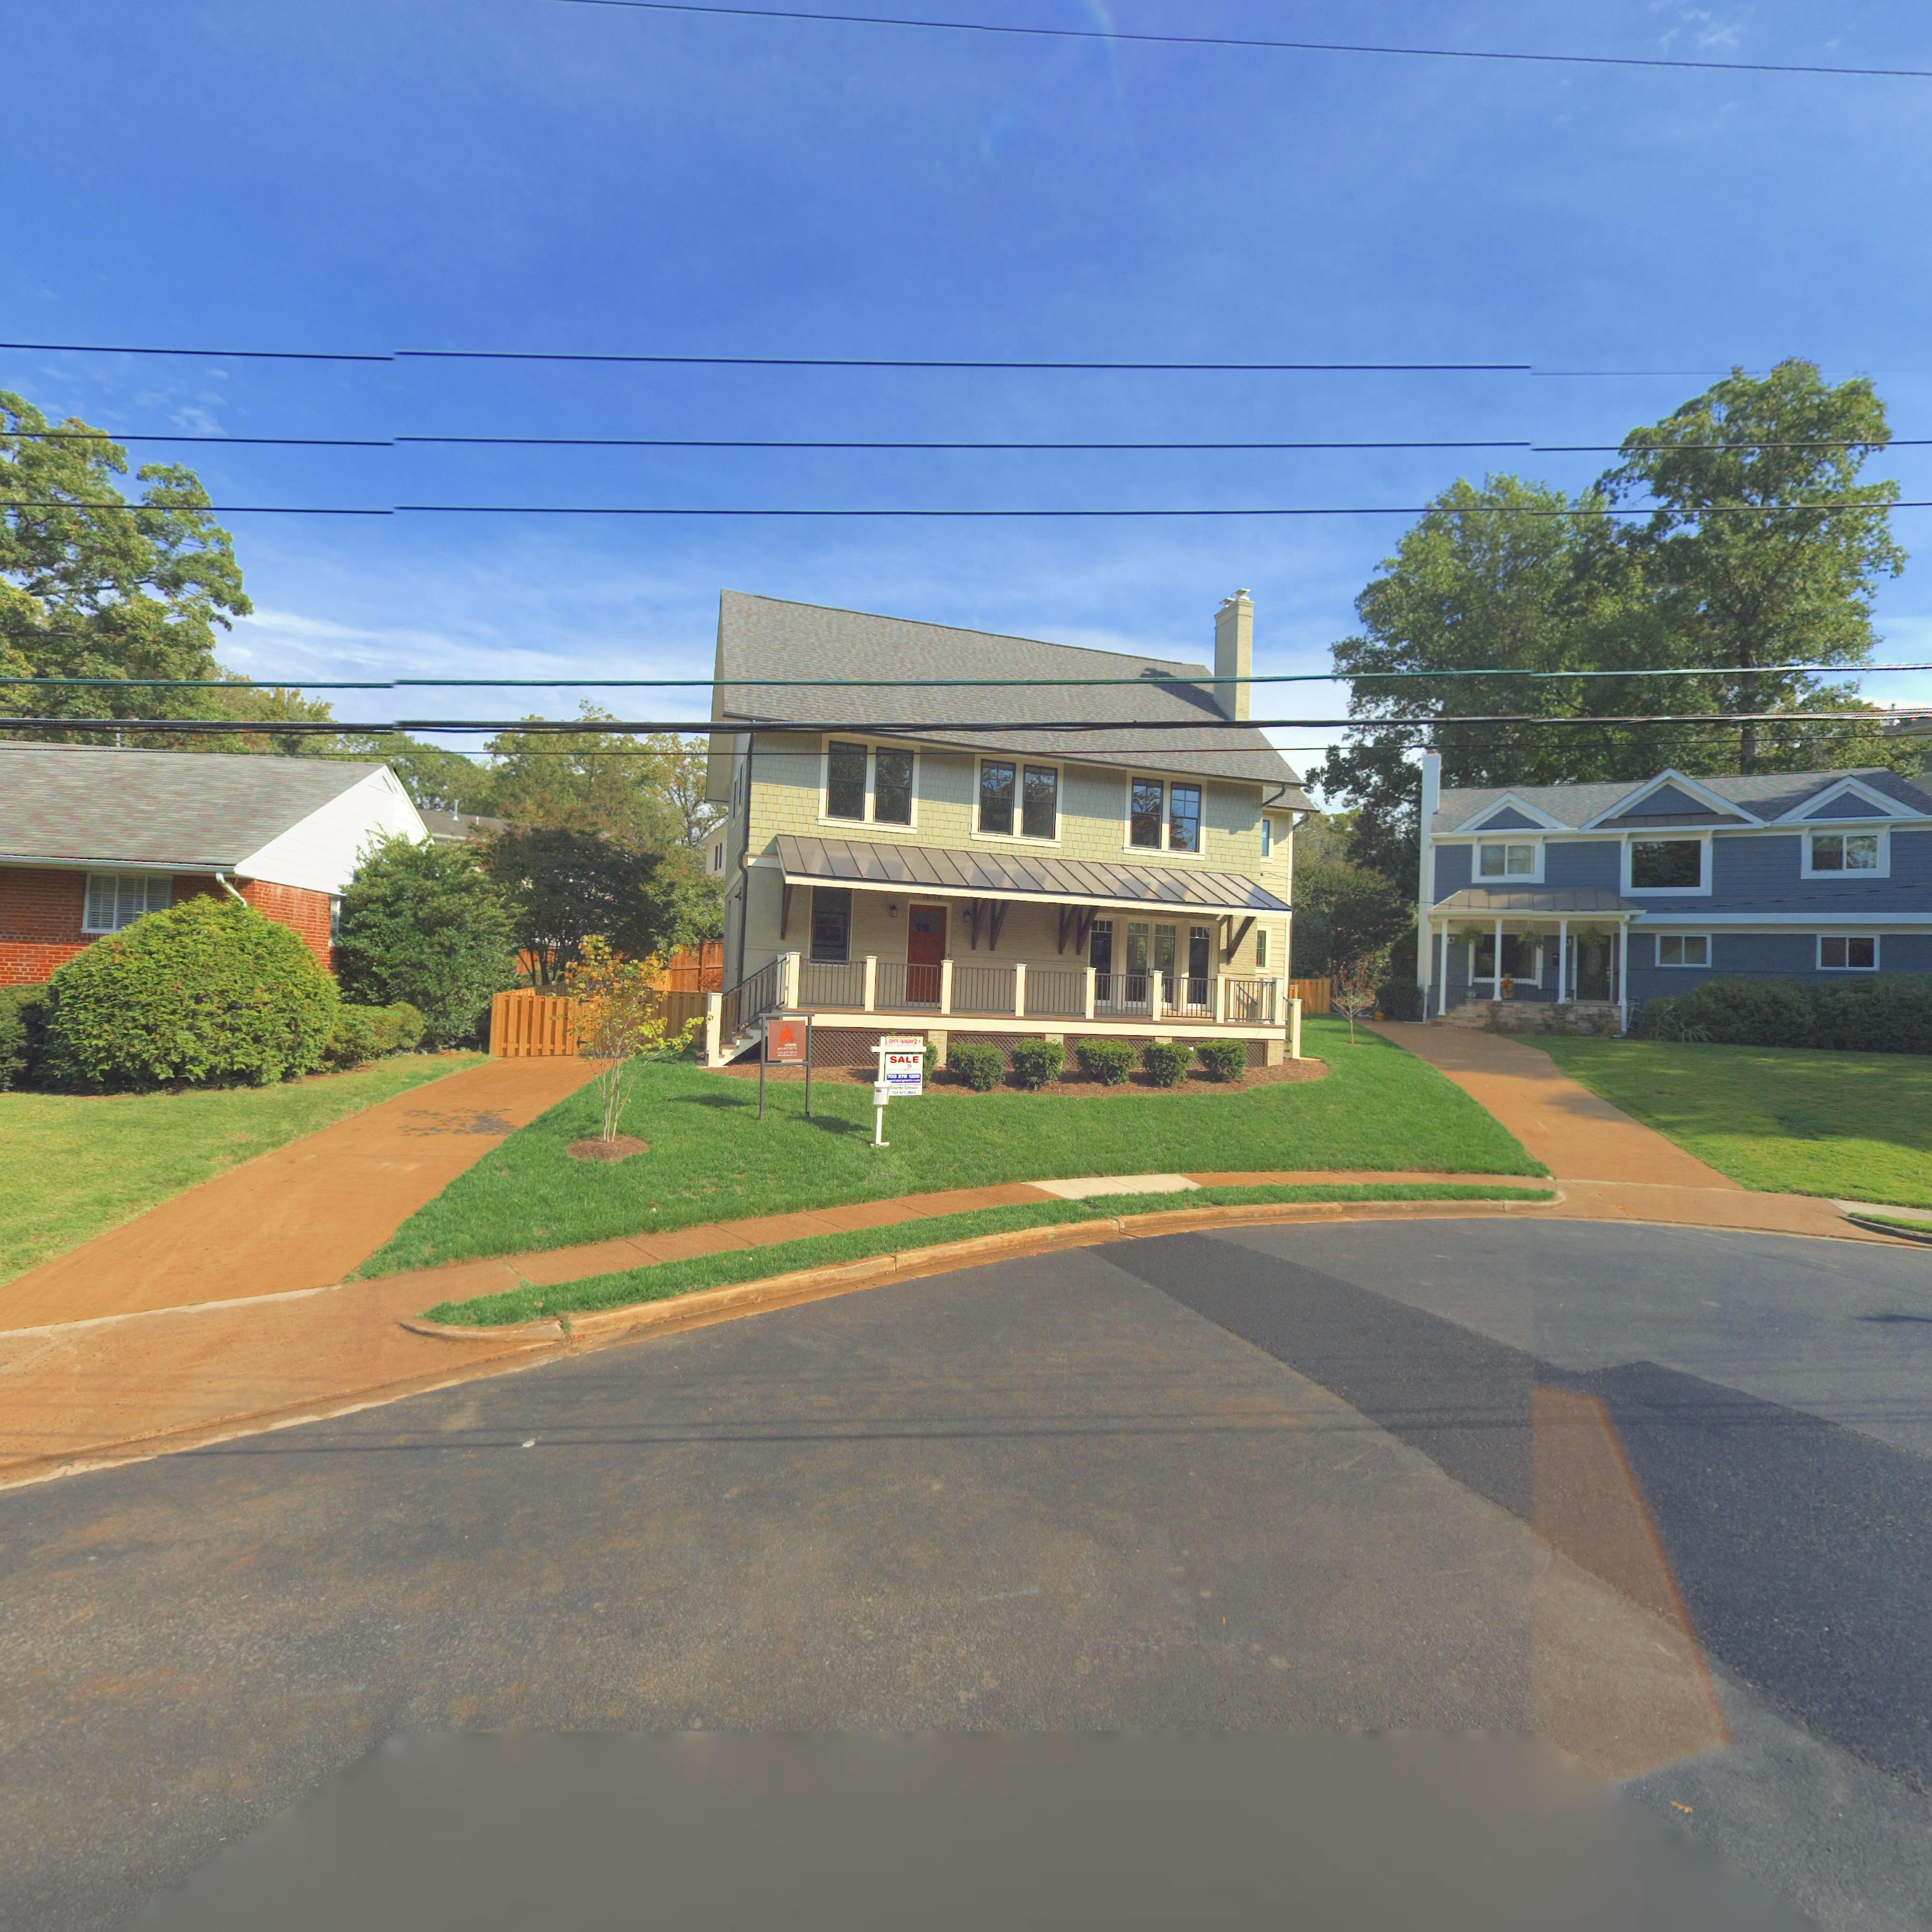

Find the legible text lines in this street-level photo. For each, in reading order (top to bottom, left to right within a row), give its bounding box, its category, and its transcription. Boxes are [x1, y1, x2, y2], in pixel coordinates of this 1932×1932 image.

[889, 1054, 920, 1065] None: SALE